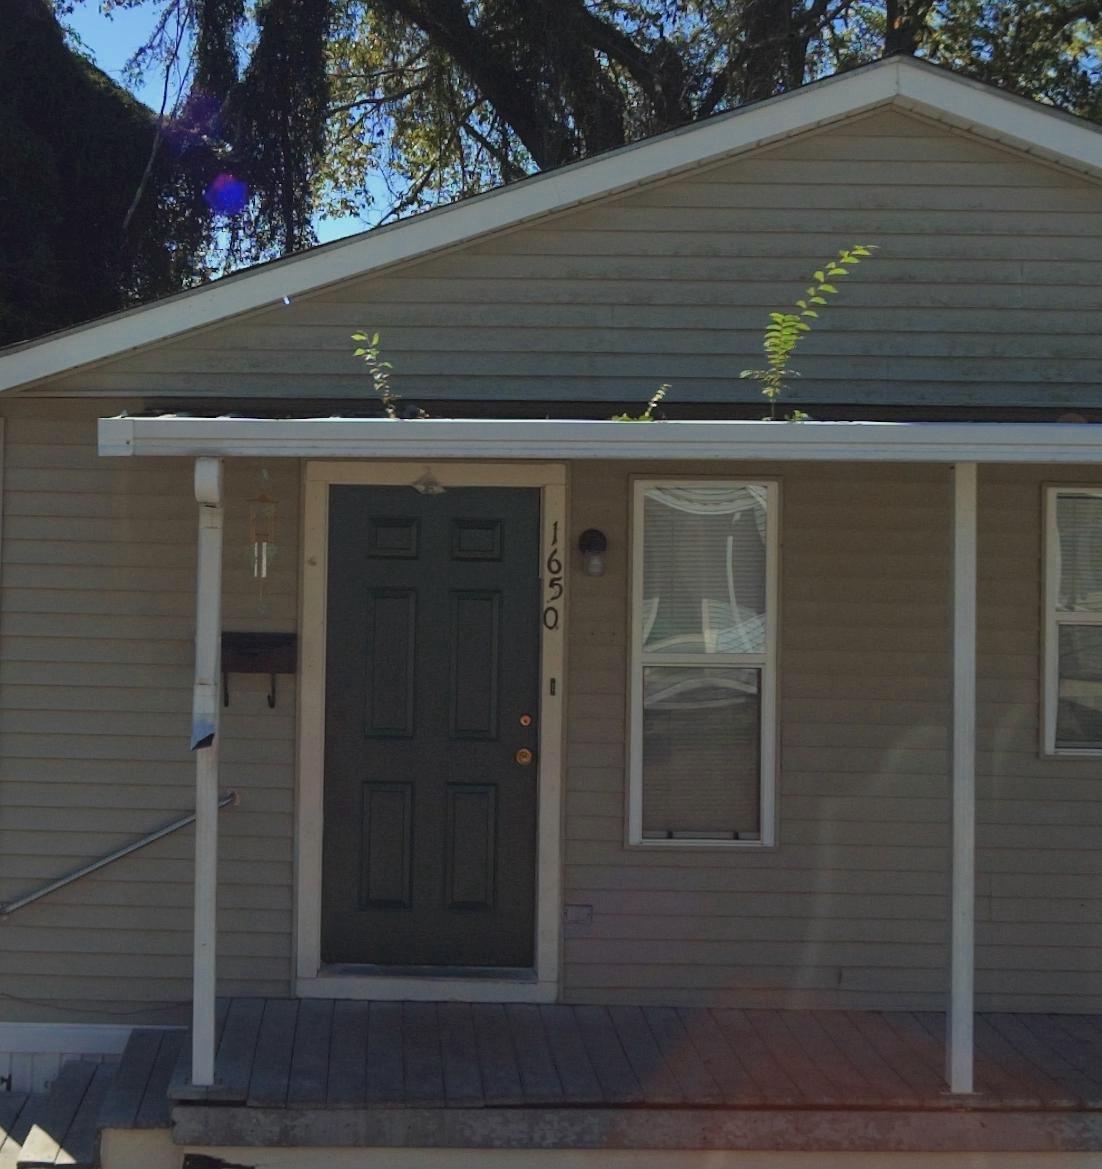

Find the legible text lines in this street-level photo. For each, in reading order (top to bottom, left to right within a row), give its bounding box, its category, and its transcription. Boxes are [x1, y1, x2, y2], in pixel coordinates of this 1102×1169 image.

[541, 515, 566, 632] StreetNumber: 1650